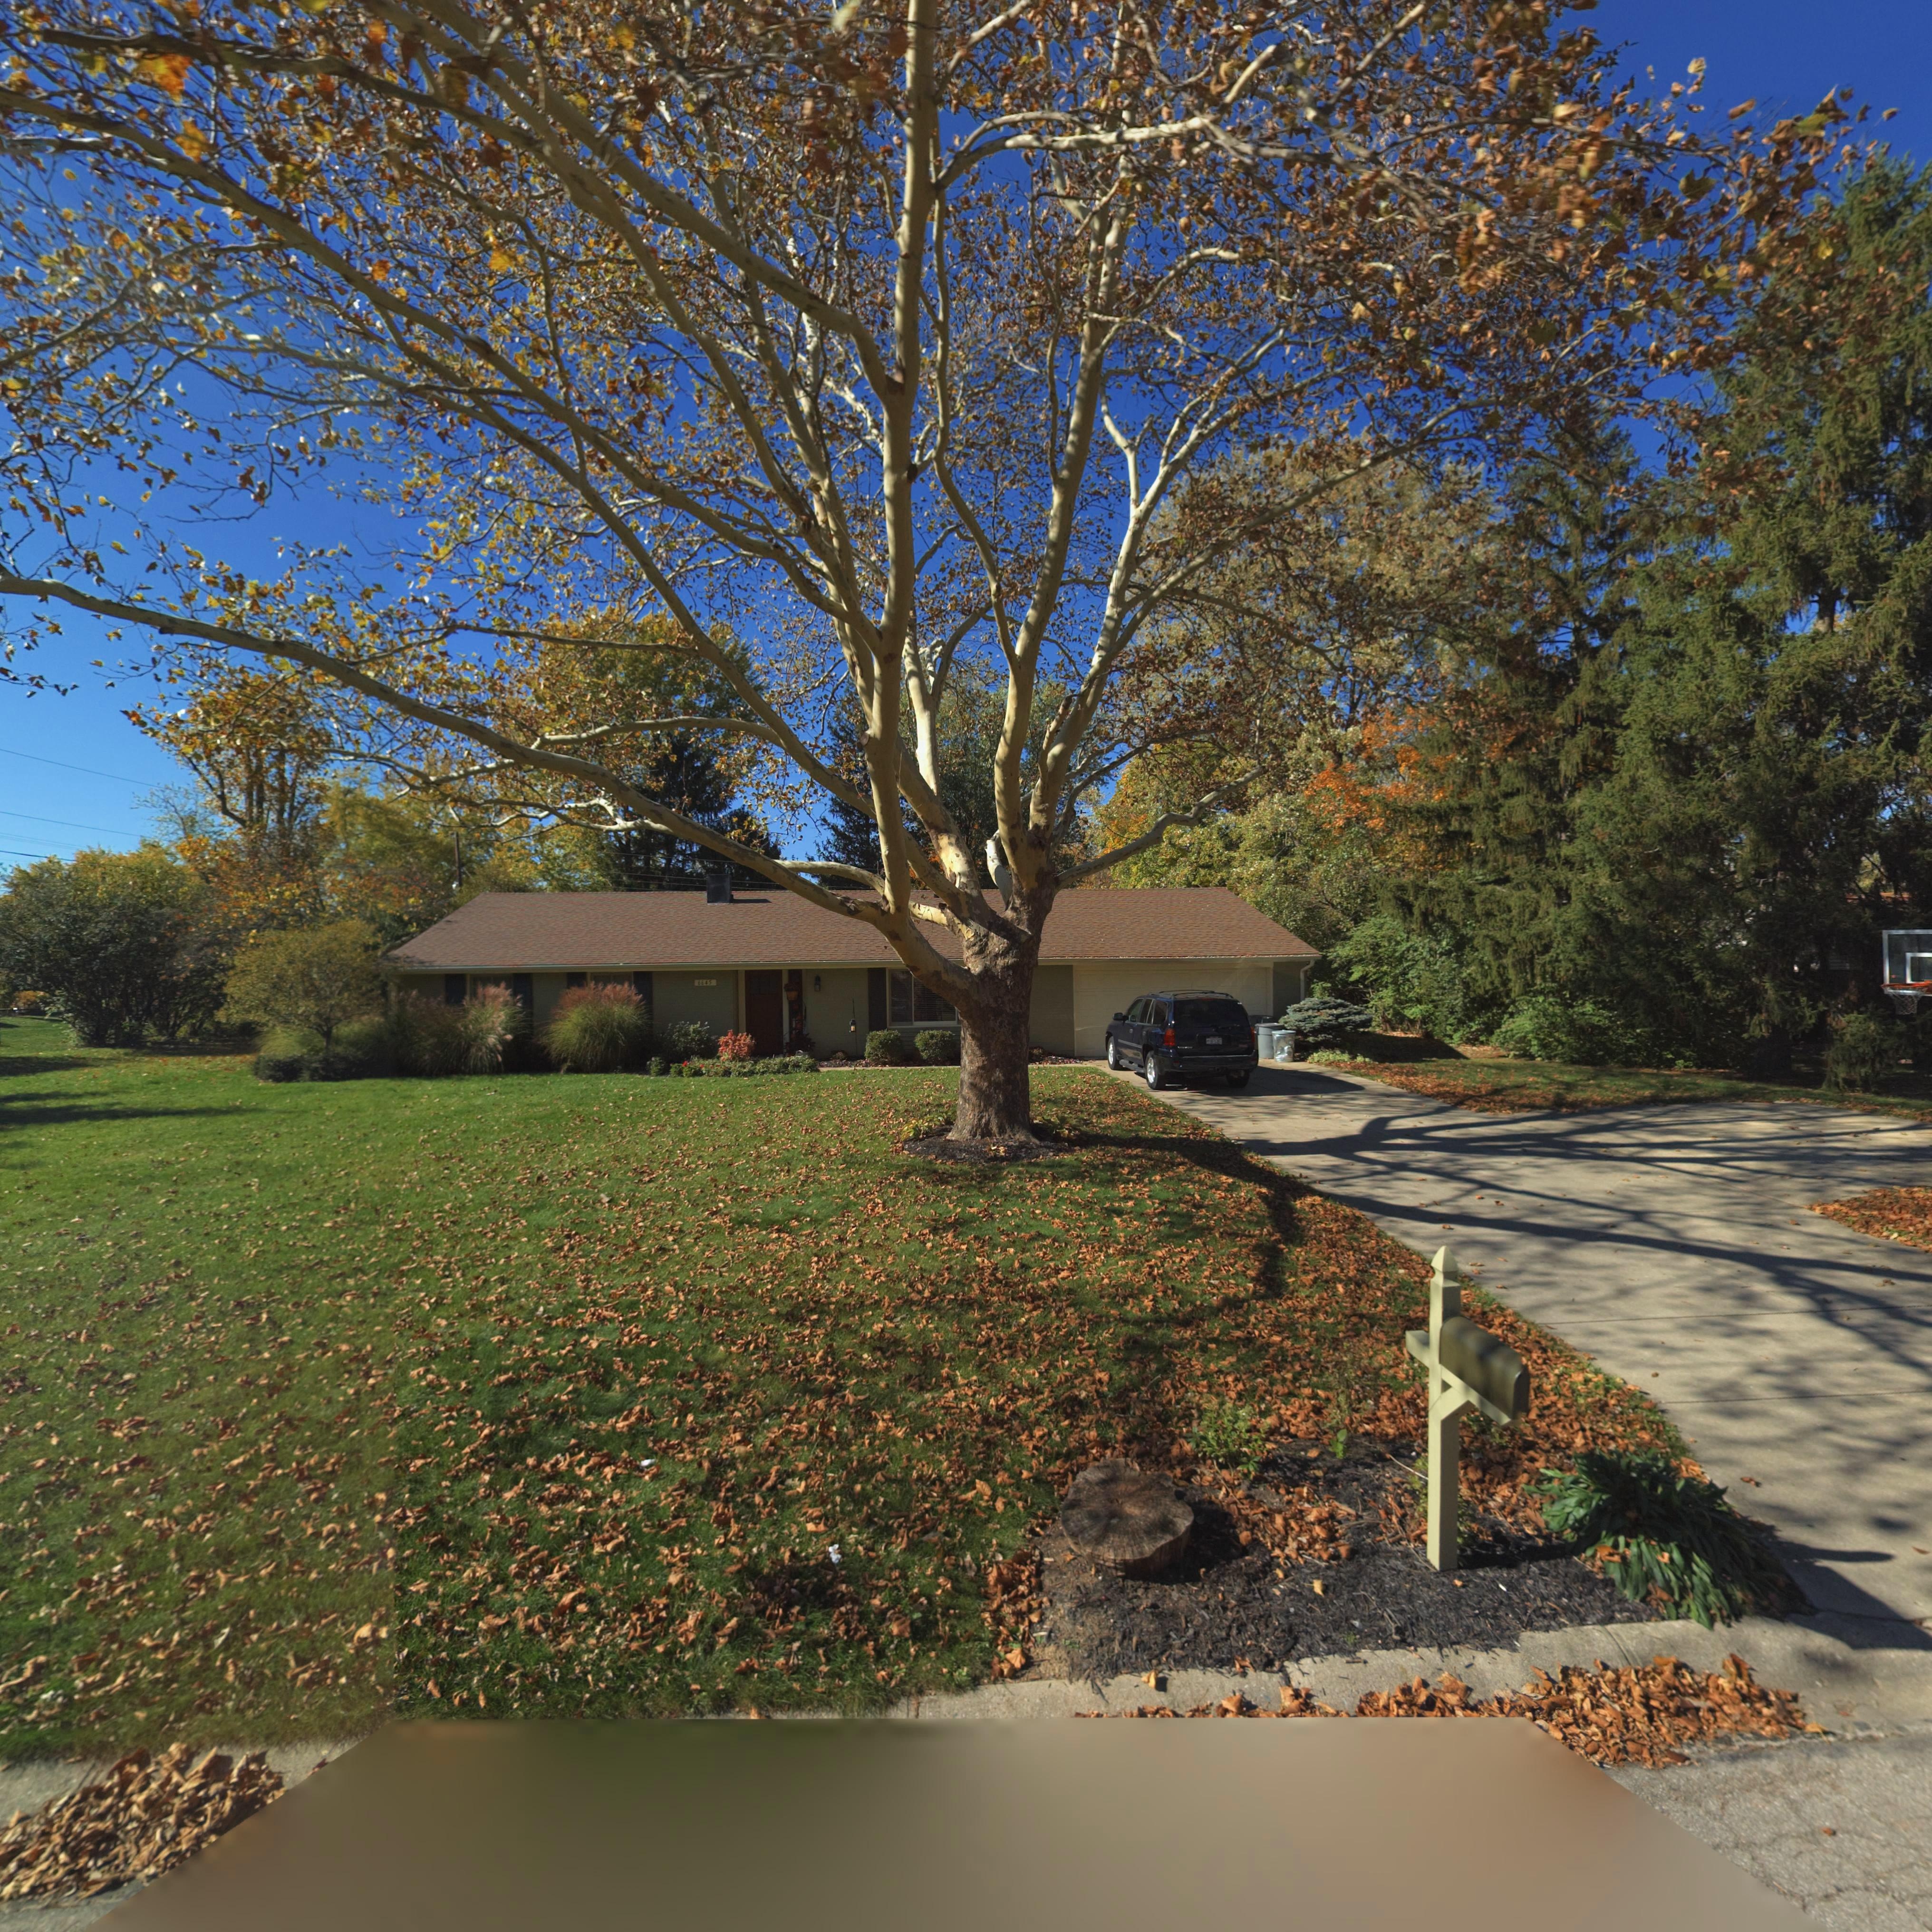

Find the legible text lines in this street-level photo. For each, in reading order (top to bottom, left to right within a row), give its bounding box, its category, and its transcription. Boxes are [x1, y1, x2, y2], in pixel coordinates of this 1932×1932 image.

[697, 979, 713, 986] StreetNumber: 6645